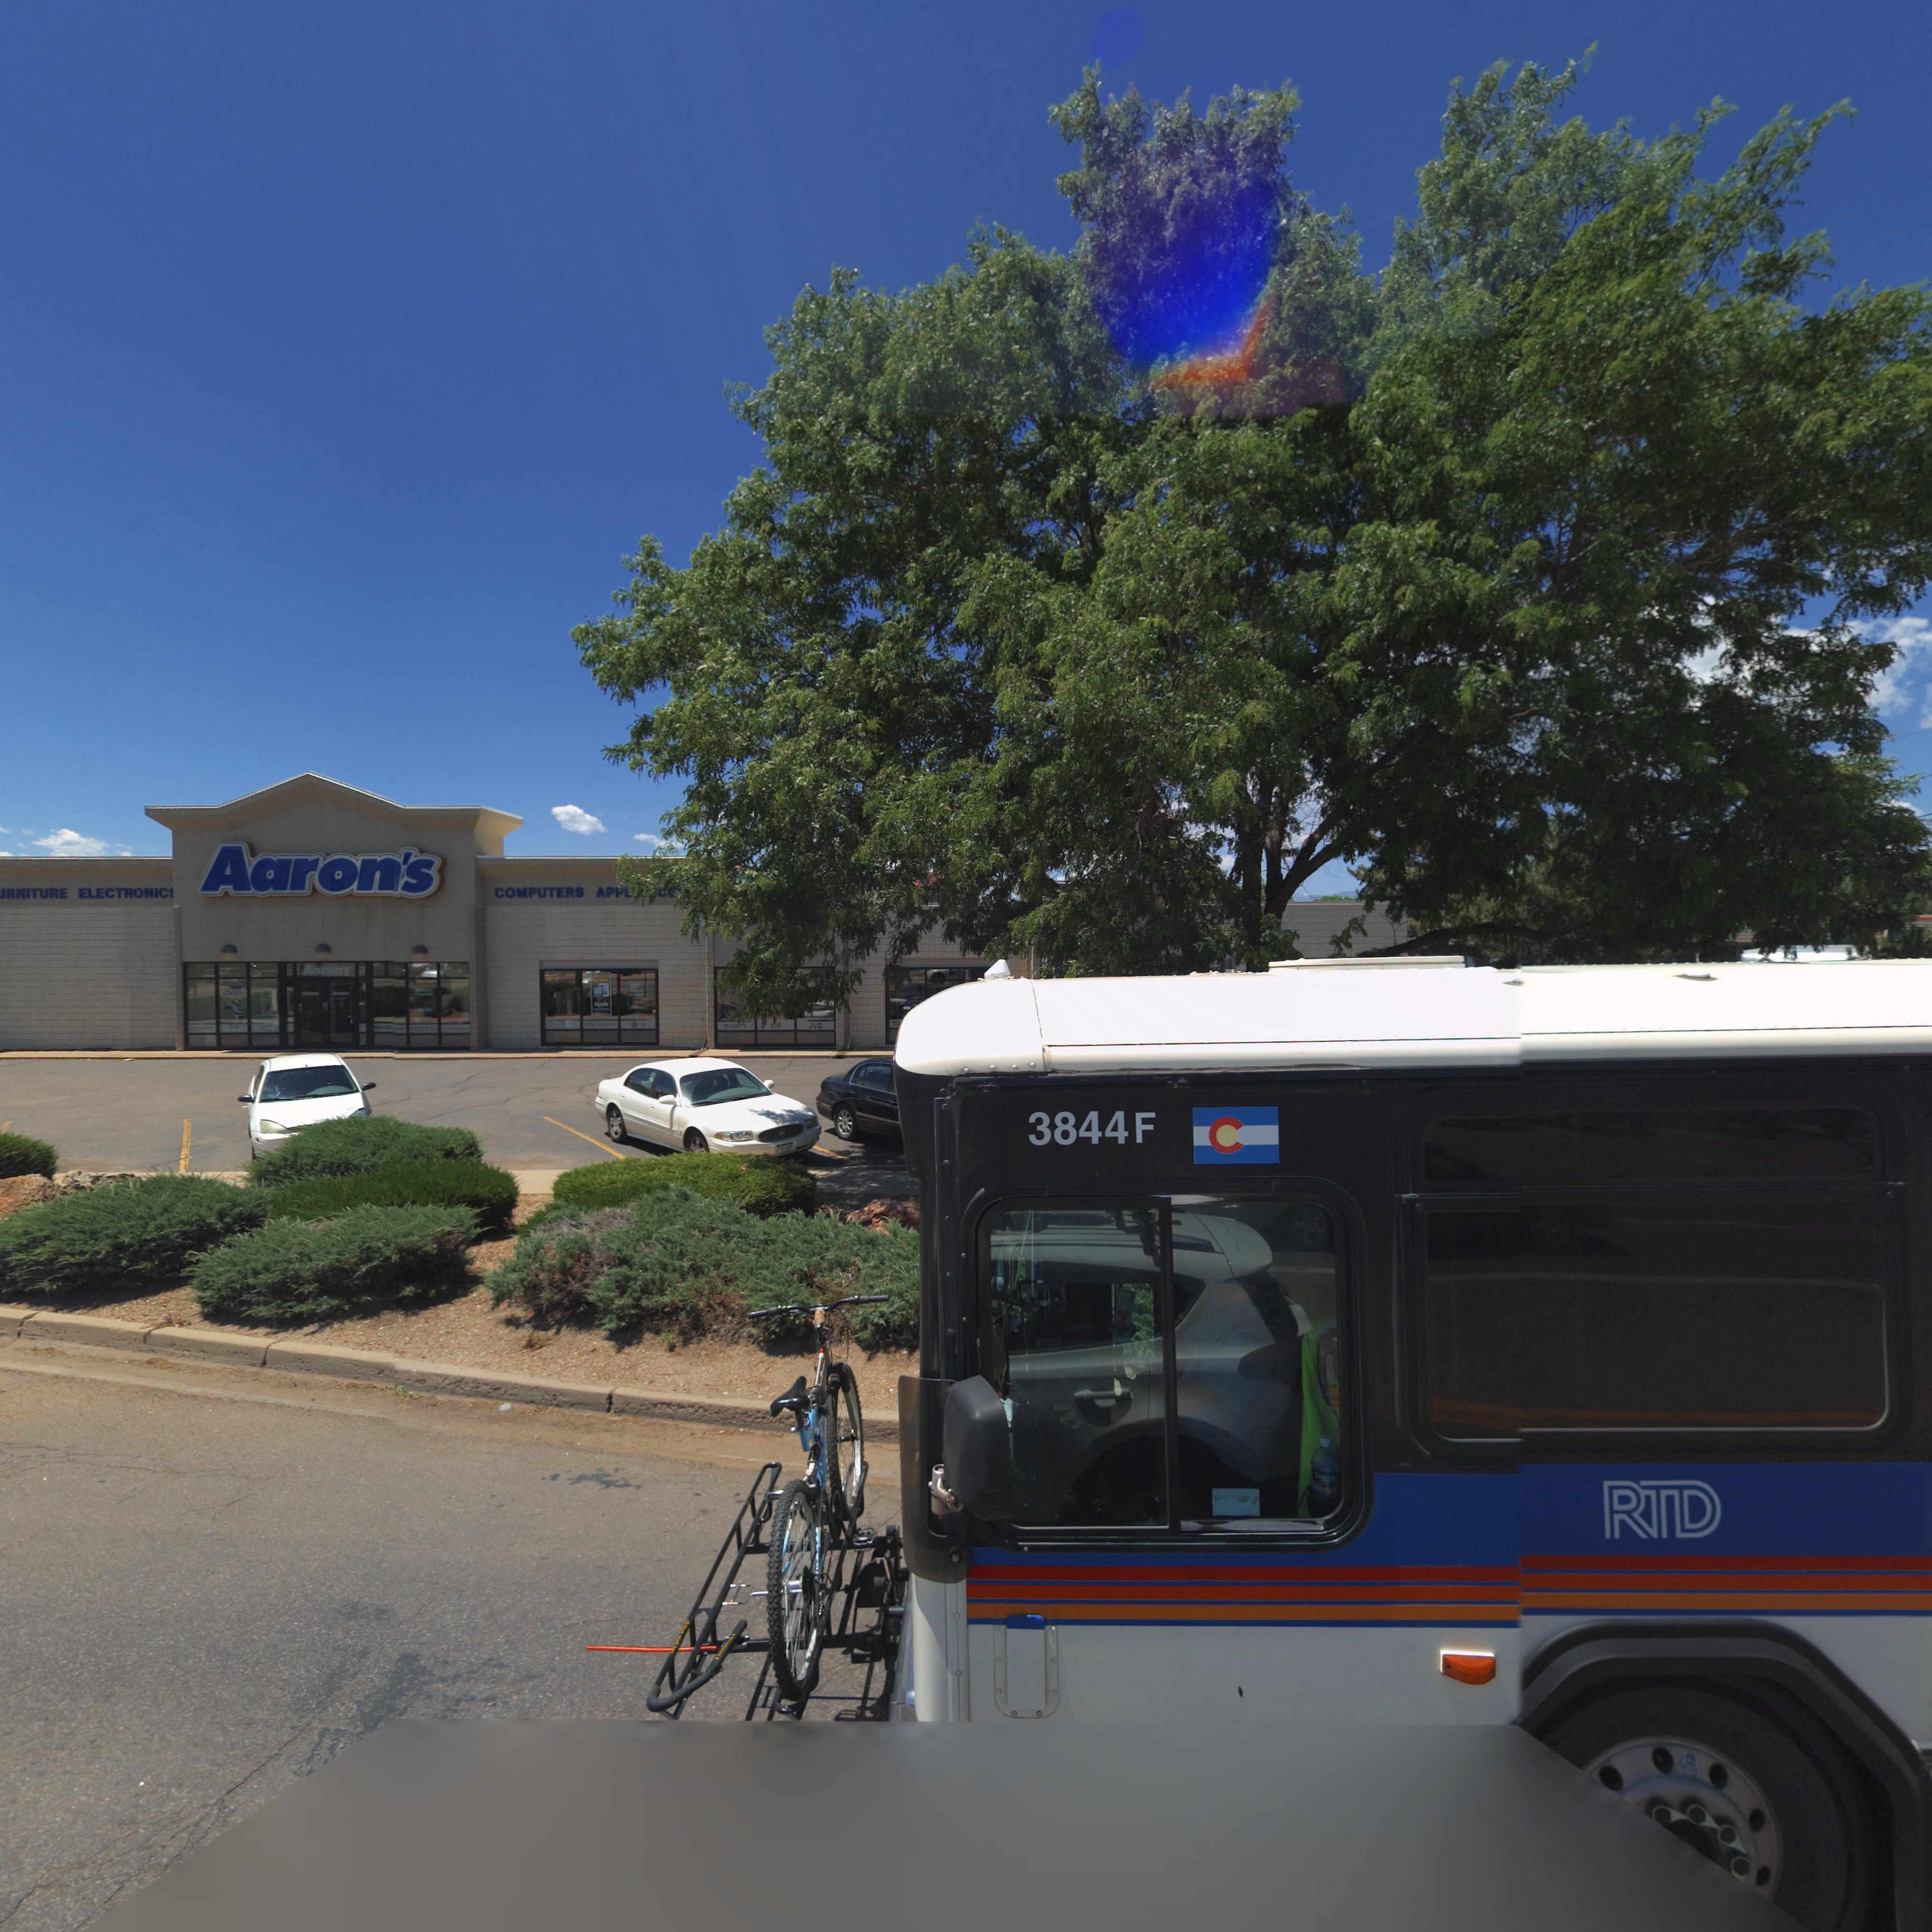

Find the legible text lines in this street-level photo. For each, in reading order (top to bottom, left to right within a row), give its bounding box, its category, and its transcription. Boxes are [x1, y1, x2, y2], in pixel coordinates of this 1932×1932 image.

[194, 840, 440, 898] BusinessName: Aaron's
[301, 963, 350, 975] BusinessName: Aaron's